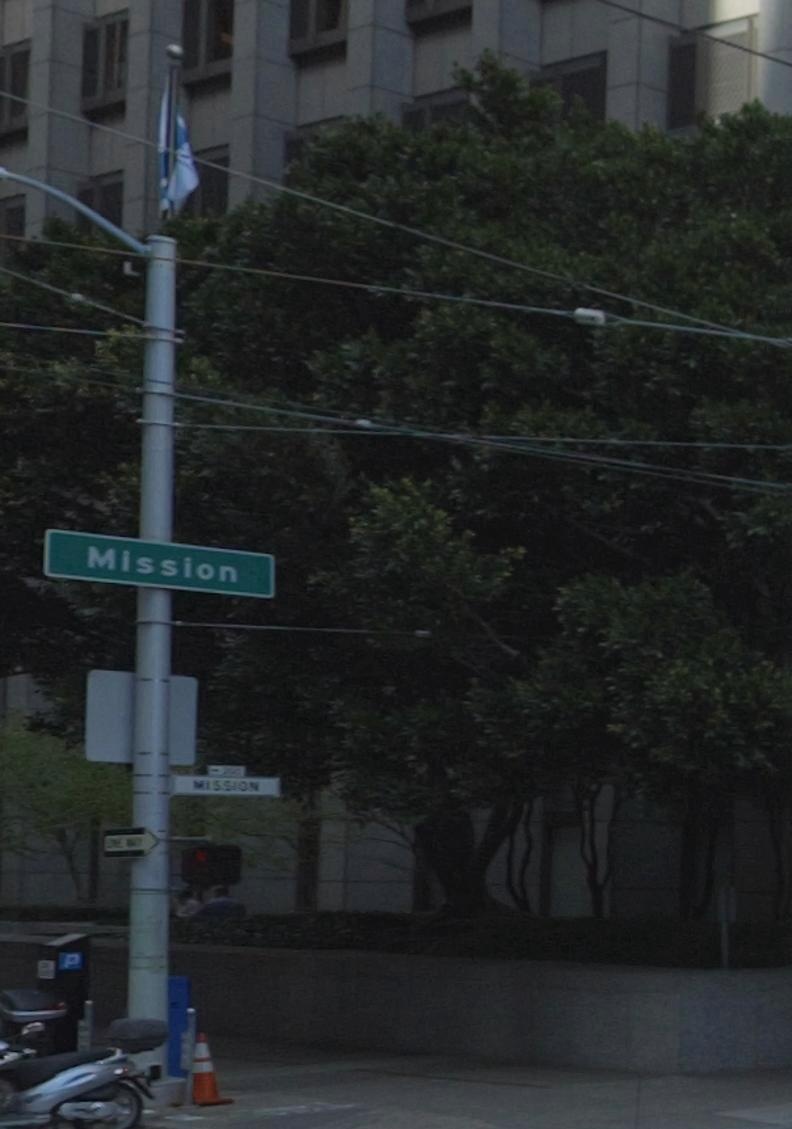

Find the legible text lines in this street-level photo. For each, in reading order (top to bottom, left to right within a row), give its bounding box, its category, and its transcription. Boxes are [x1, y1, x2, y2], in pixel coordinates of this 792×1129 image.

[86, 539, 239, 587] StreetName: Mission
[191, 776, 260, 795] StreetName: MISSION